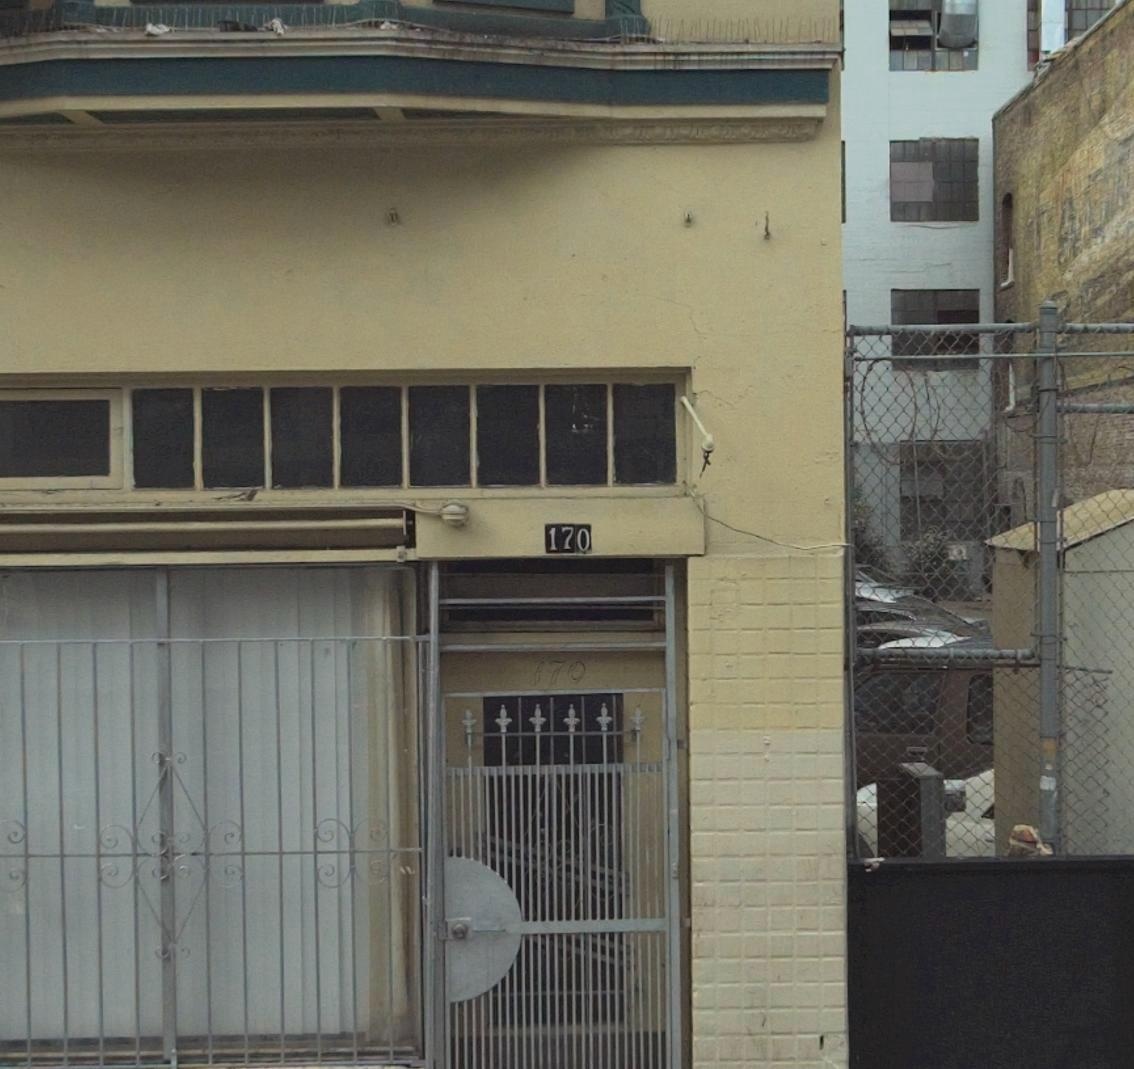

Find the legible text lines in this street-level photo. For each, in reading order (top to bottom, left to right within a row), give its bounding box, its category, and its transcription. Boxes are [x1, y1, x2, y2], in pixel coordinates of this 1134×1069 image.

[546, 524, 592, 554] StreetNumber: 170